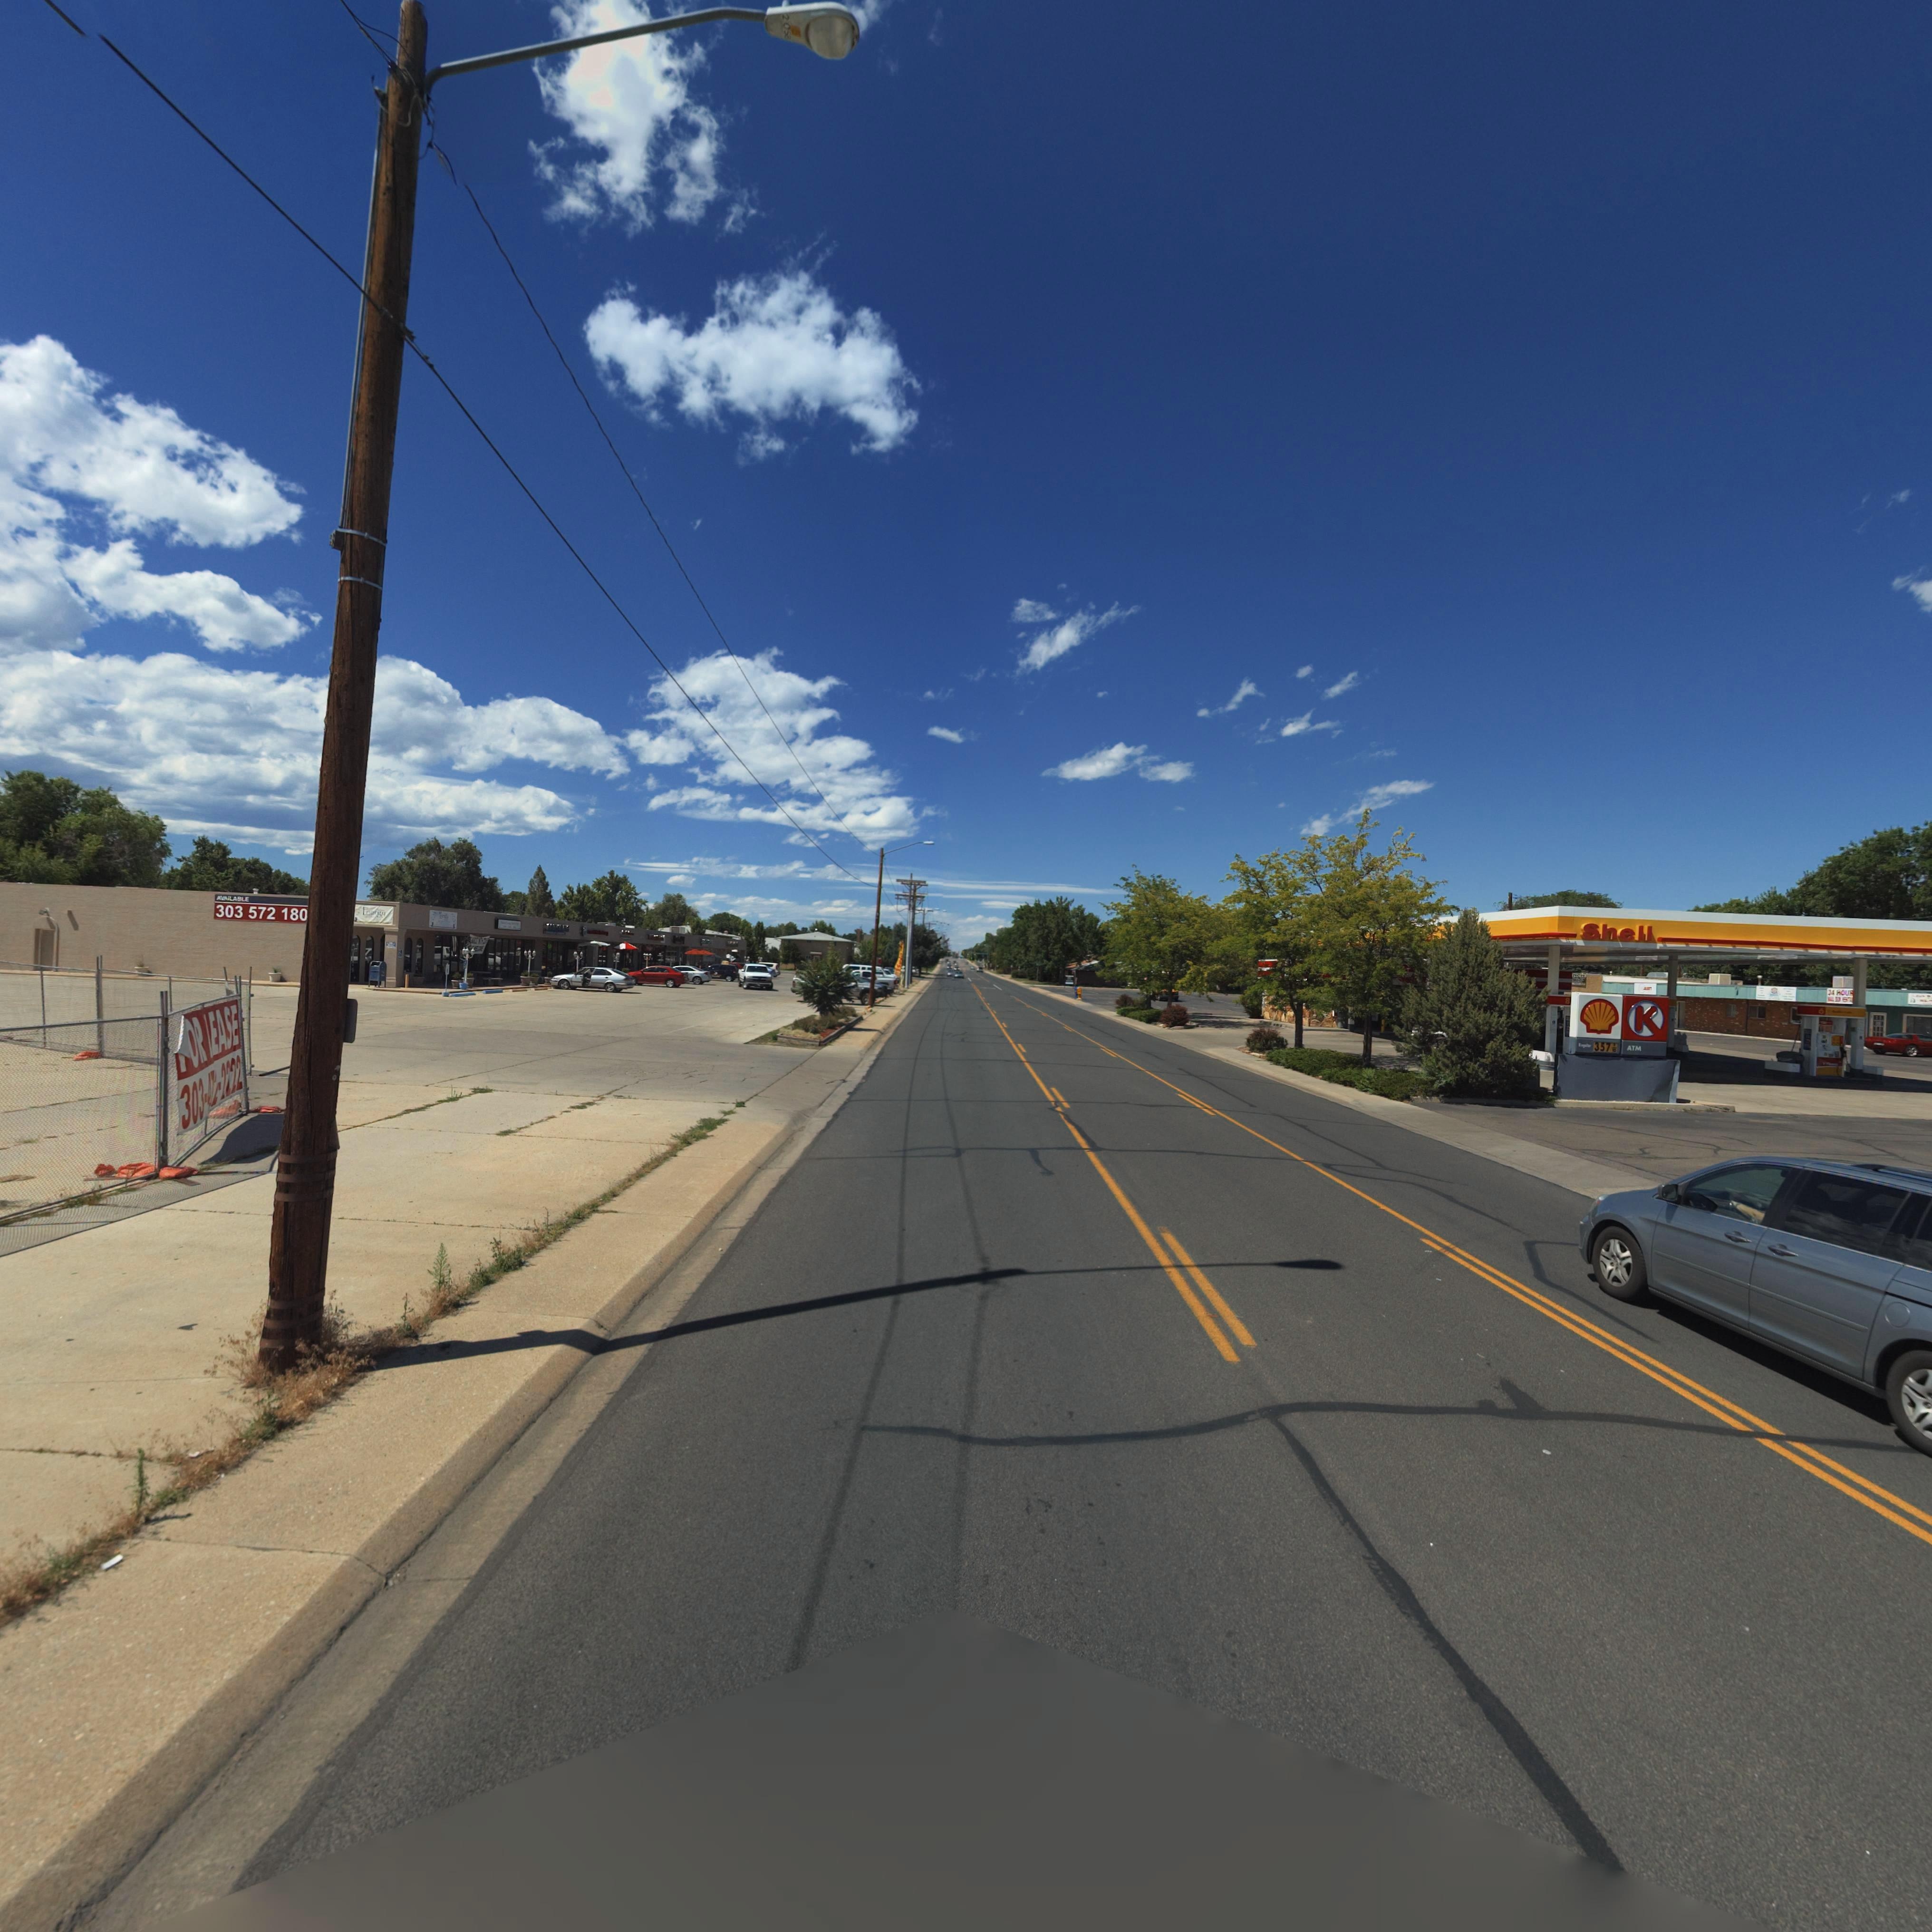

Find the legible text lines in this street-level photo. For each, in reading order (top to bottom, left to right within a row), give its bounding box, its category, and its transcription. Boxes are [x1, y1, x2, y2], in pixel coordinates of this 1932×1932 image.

[362, 906, 386, 918] BusinessName: Energy
[1578, 922, 1654, 942] BusinessName: Shell
[1642, 986, 1652, 991] BusinessName: A**RT
[1827, 989, 1853, 996] BusinessName: 24 HOUR